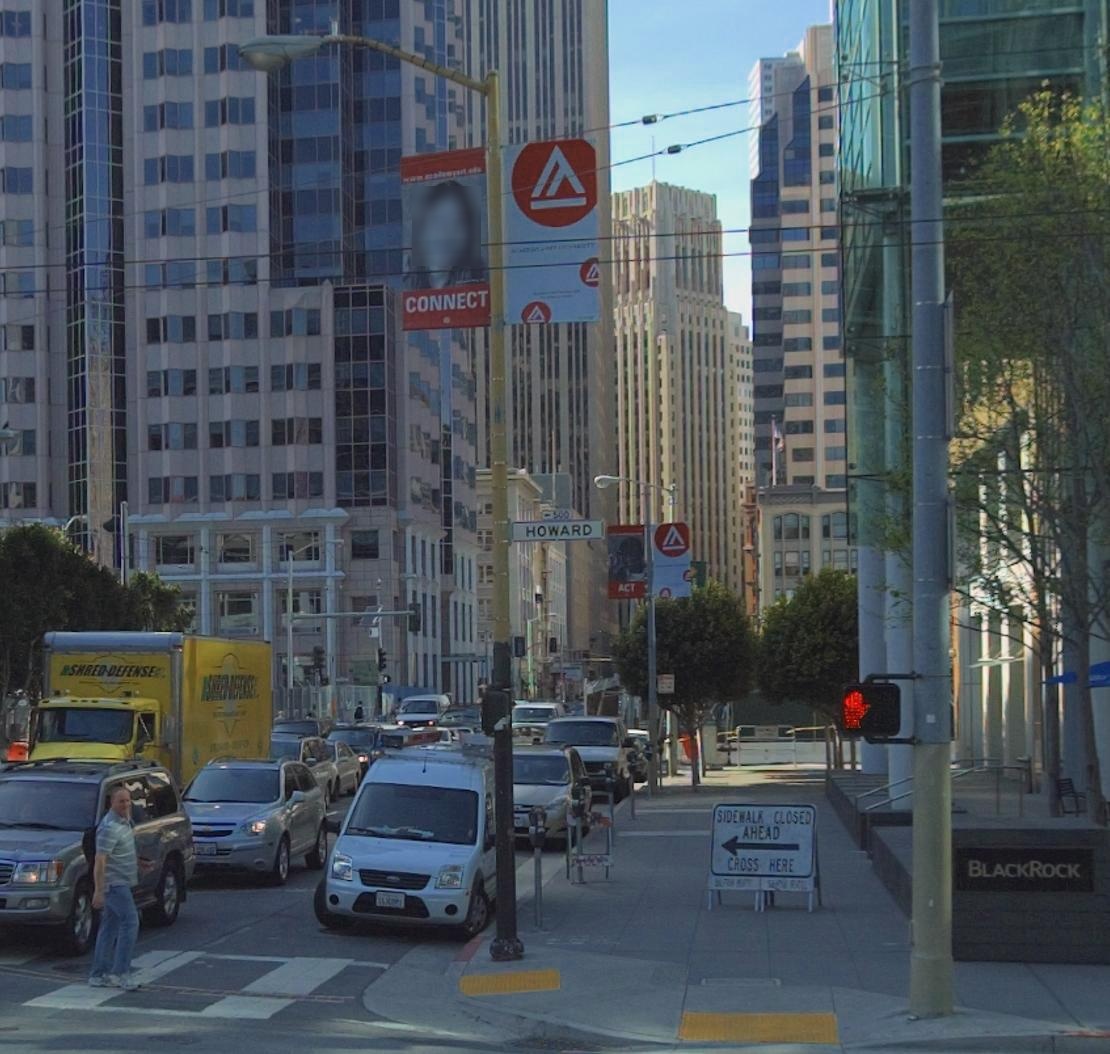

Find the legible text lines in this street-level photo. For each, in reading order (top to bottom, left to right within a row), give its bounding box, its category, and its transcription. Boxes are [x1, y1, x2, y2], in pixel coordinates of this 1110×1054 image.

[402, 288, 491, 317] None: CONNECT
[542, 508, 572, 521] StreetNumberRange: <-500
[523, 521, 595, 540] StreetName: HOWARD < [500]
[615, 581, 638, 596] None: ACT
[66, 661, 160, 679] None: S*RED DEFENSE
[714, 806, 813, 827] None: SIDEWALK CLOSED
[739, 822, 782, 843] None: AHEAD
[724, 854, 798, 875] None: CROSS HERE
[966, 857, 1084, 881] None: BLACKROCK